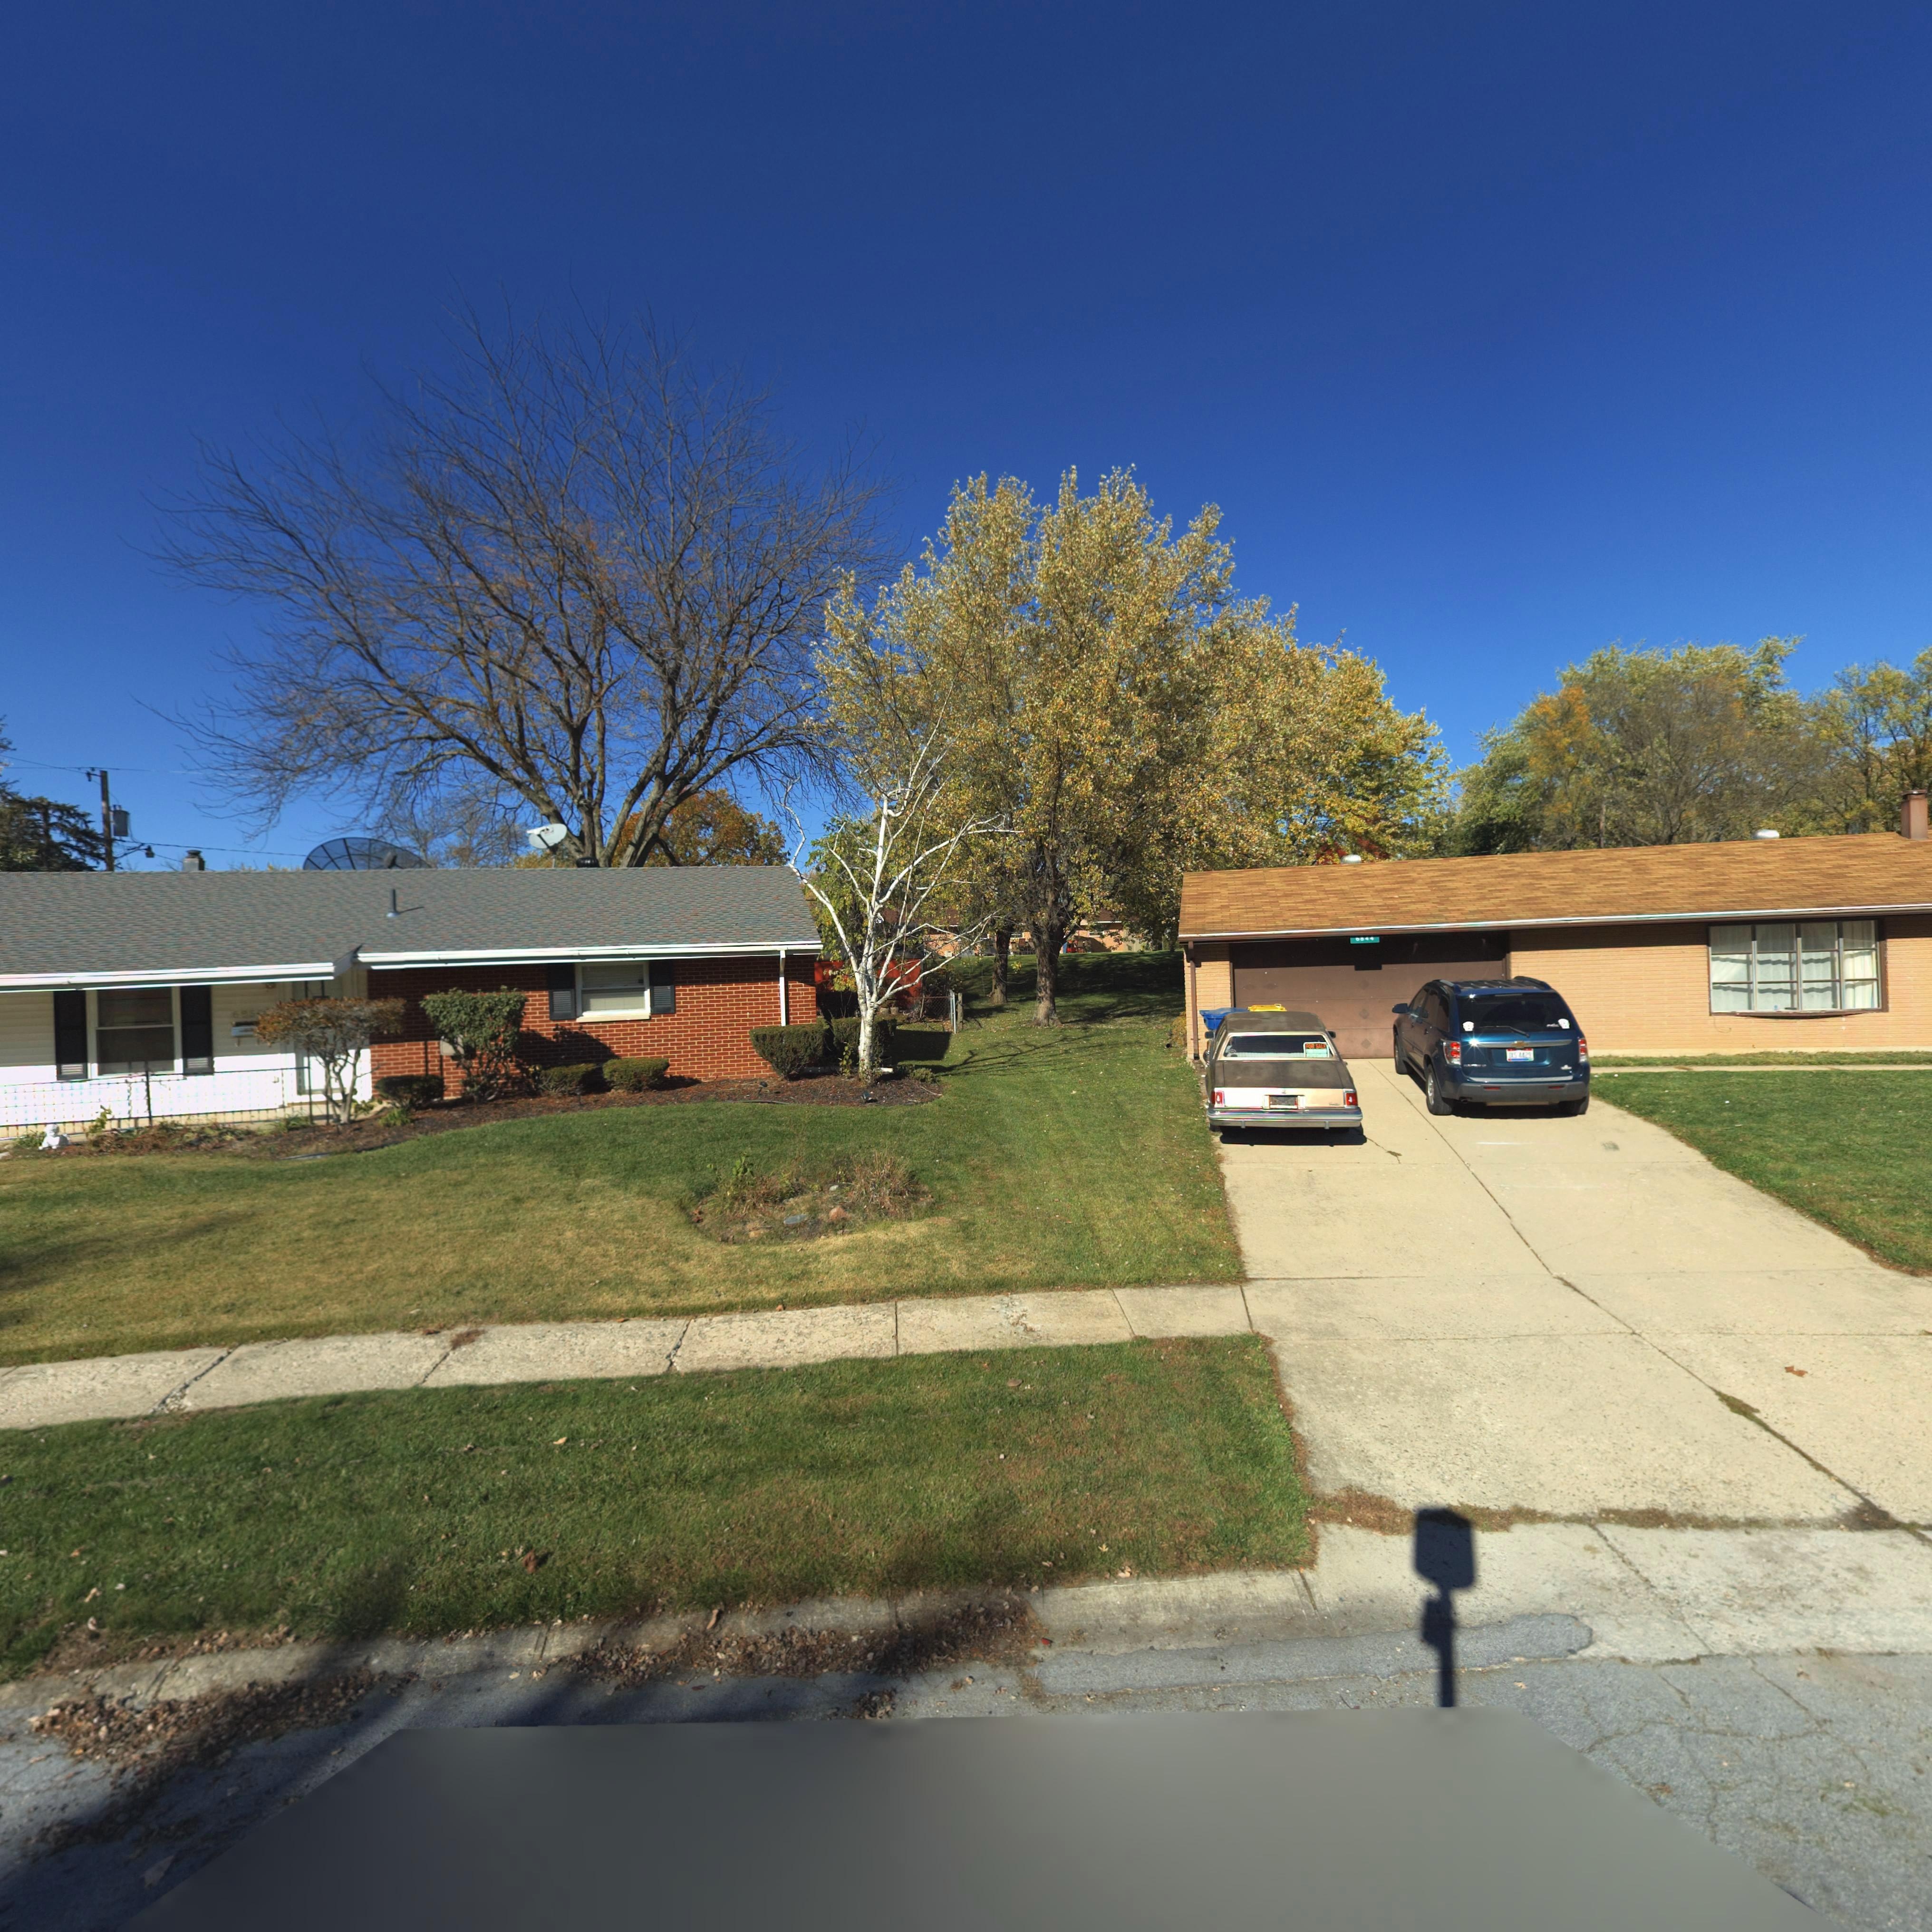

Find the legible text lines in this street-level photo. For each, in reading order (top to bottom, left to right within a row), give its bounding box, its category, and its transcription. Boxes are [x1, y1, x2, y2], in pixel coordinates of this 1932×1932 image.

[1354, 935, 1374, 942] StreetNumber: 6844
[232, 1008, 265, 1019] StreetNumber: 685*
[1517, 1051, 1532, 1059] None: 4429